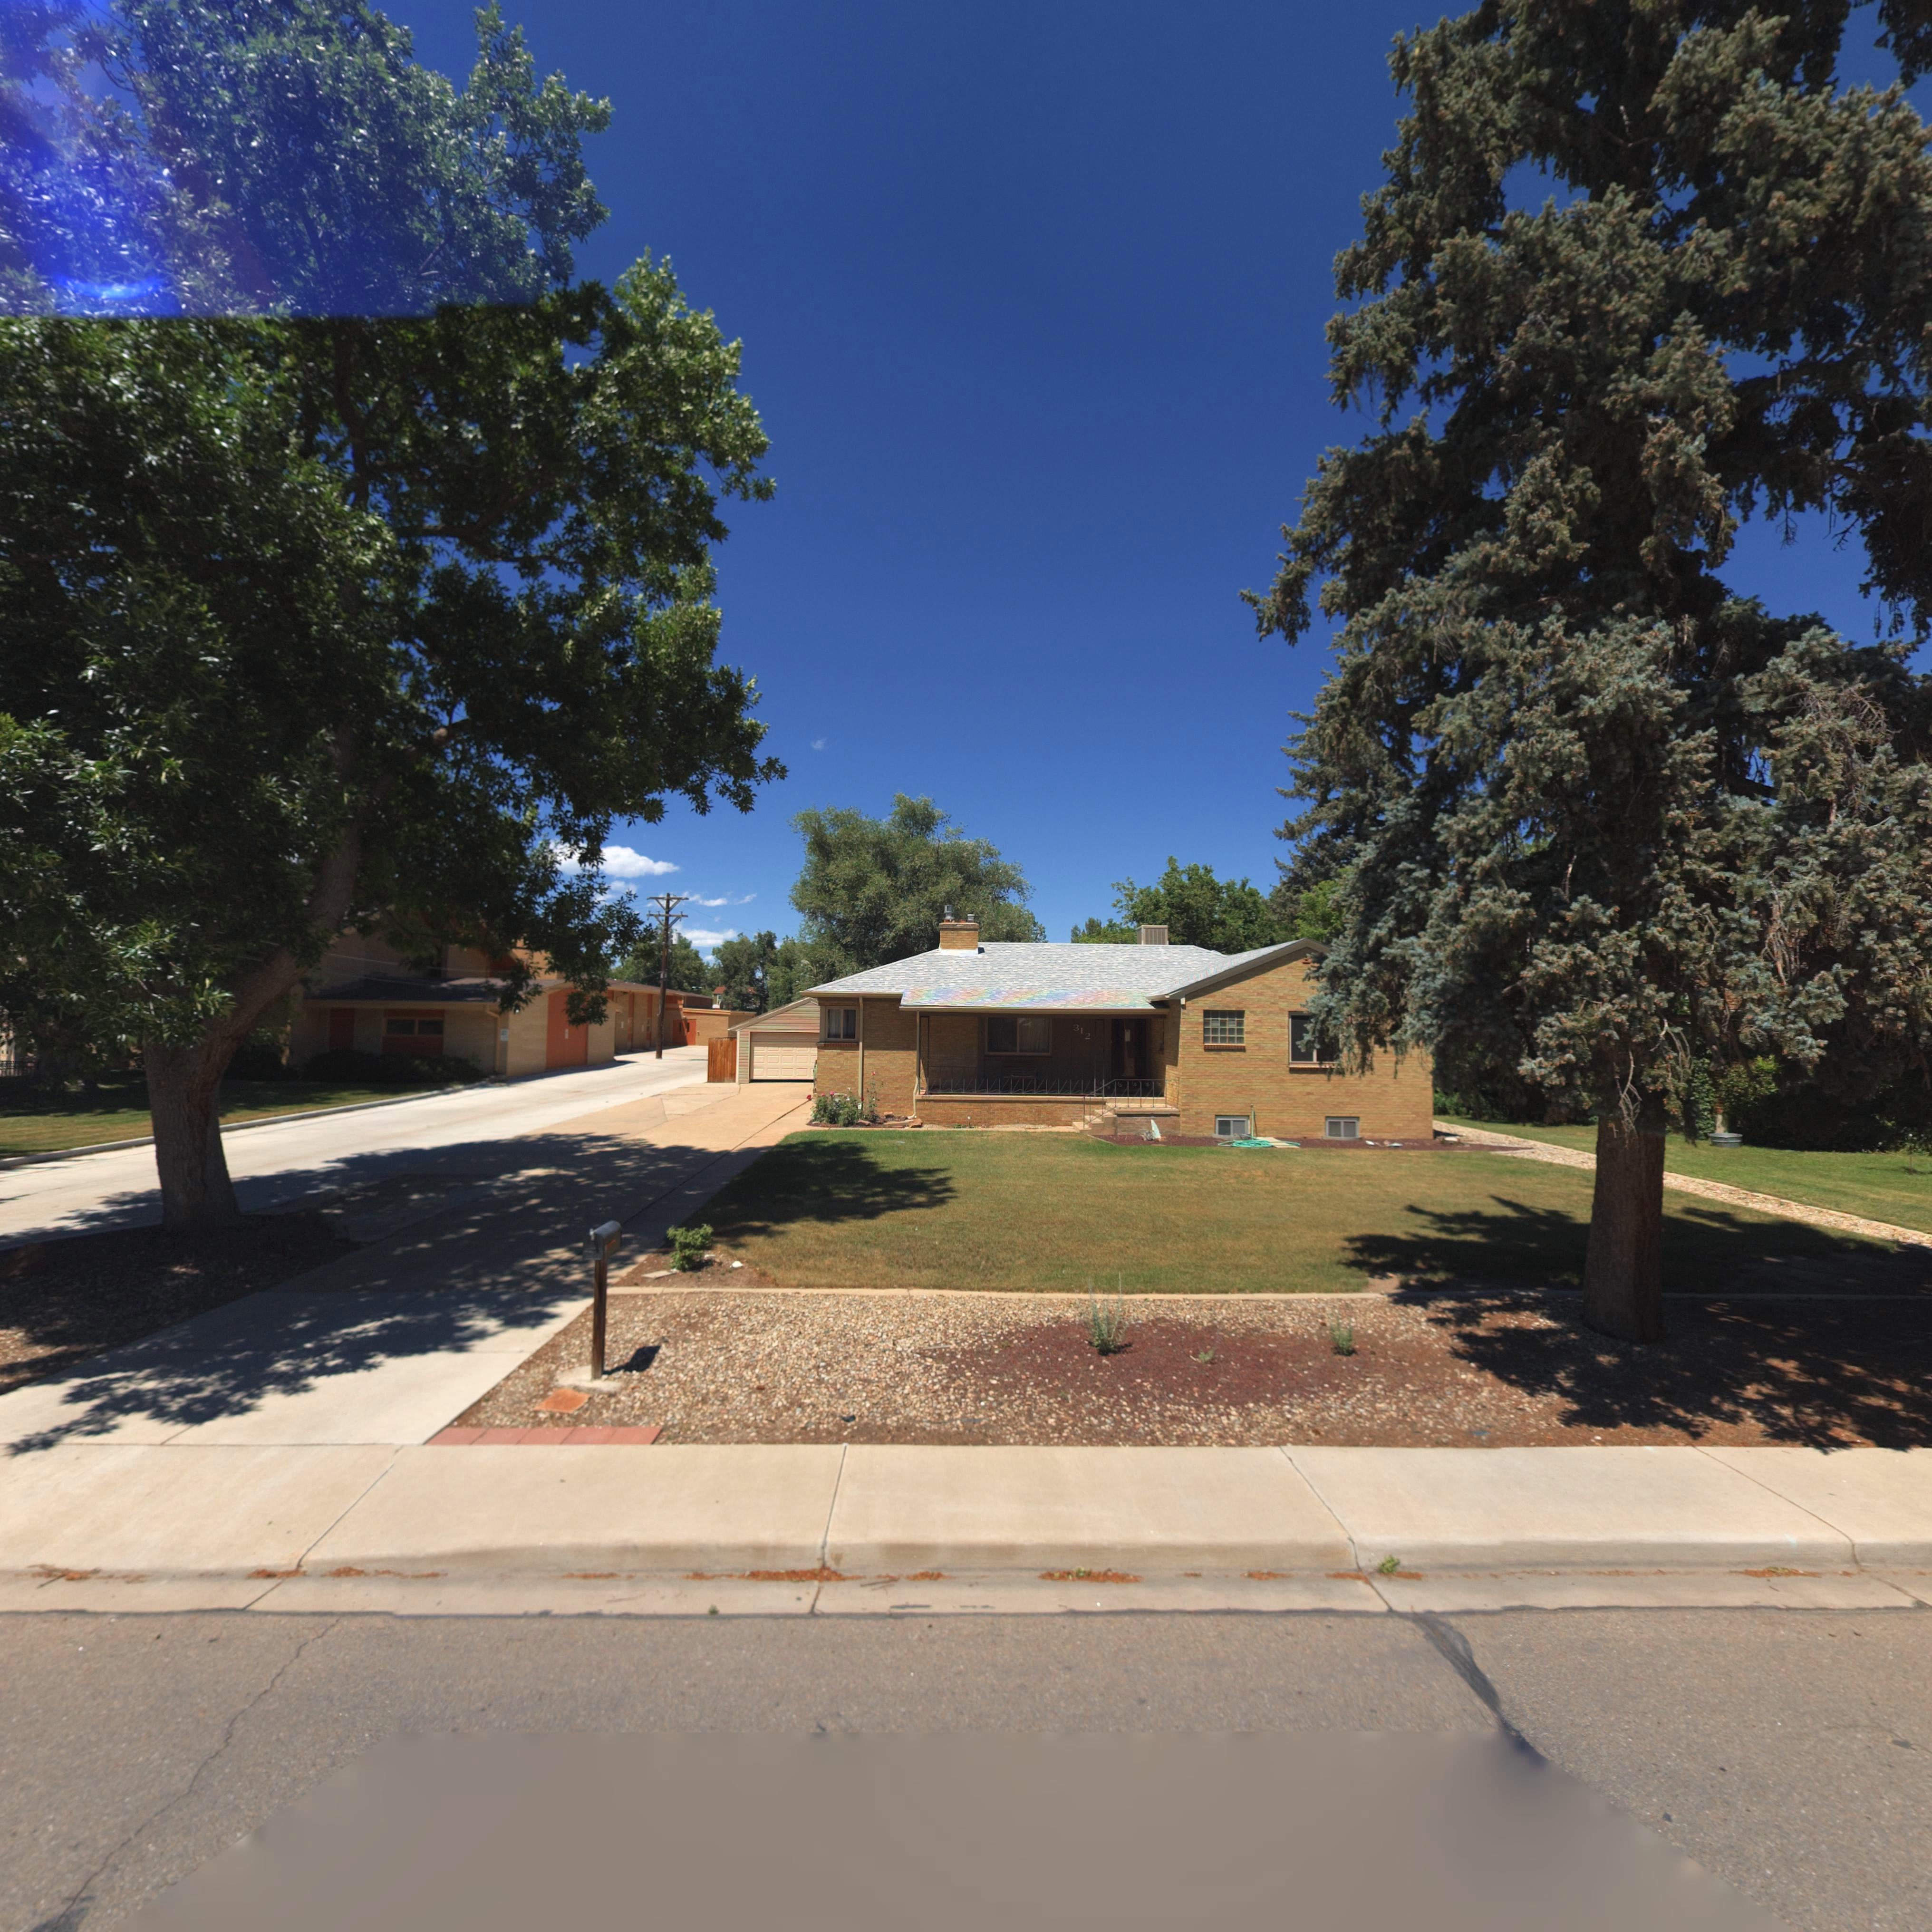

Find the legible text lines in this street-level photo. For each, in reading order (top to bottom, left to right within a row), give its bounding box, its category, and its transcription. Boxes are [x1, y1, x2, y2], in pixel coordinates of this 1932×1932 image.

[1073, 1024, 1090, 1040] StreetNumber: 312